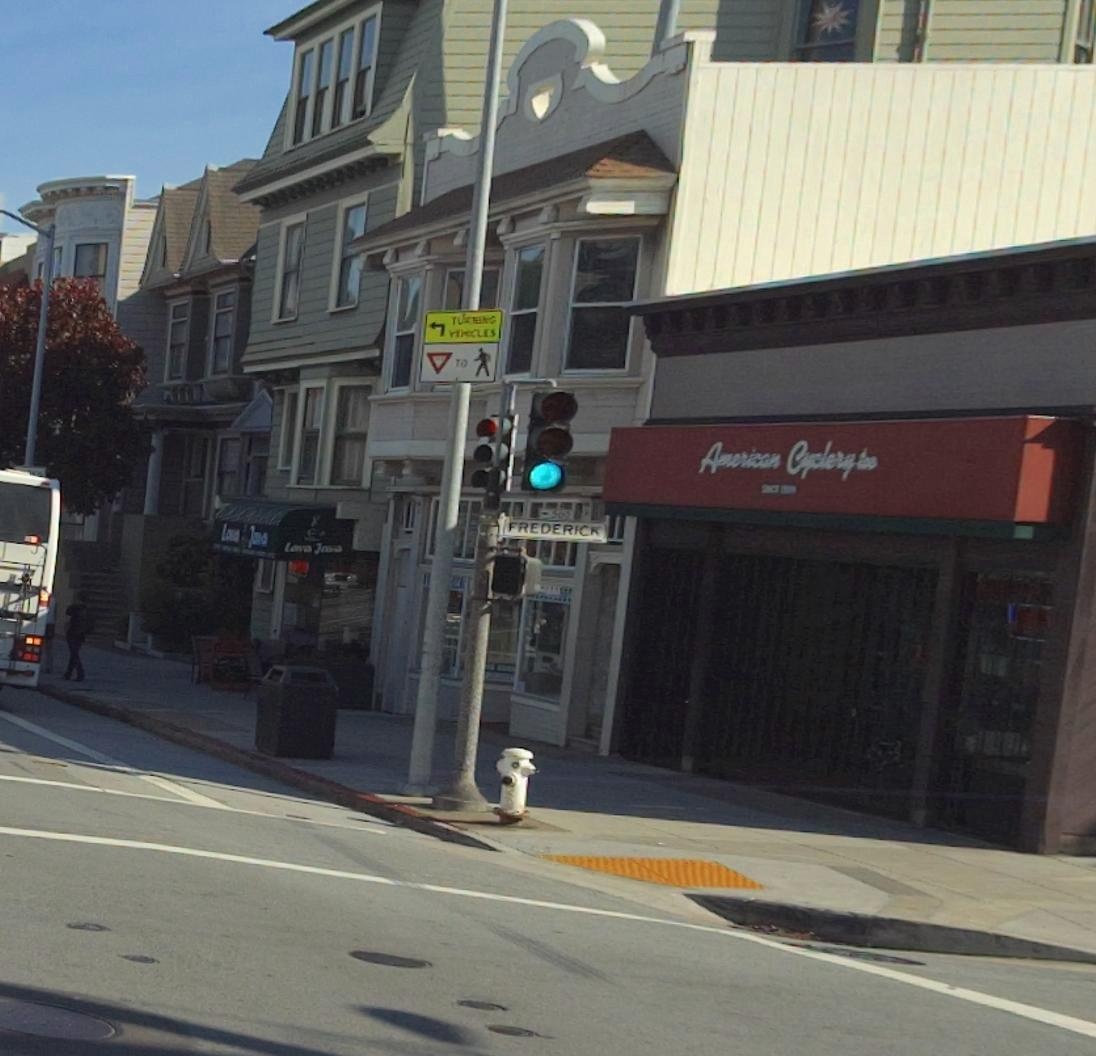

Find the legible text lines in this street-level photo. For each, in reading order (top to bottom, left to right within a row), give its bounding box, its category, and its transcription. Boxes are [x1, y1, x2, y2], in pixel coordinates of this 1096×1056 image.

[453, 357, 469, 369] None: TO
[695, 438, 882, 482] BusinessName: American Cycle***
[541, 508, 572, 521] StreetNumberRange: <-5*0
[507, 520, 601, 539] StreetName: FREDERICK
[283, 541, 343, 554] BusinessName: Lava Java